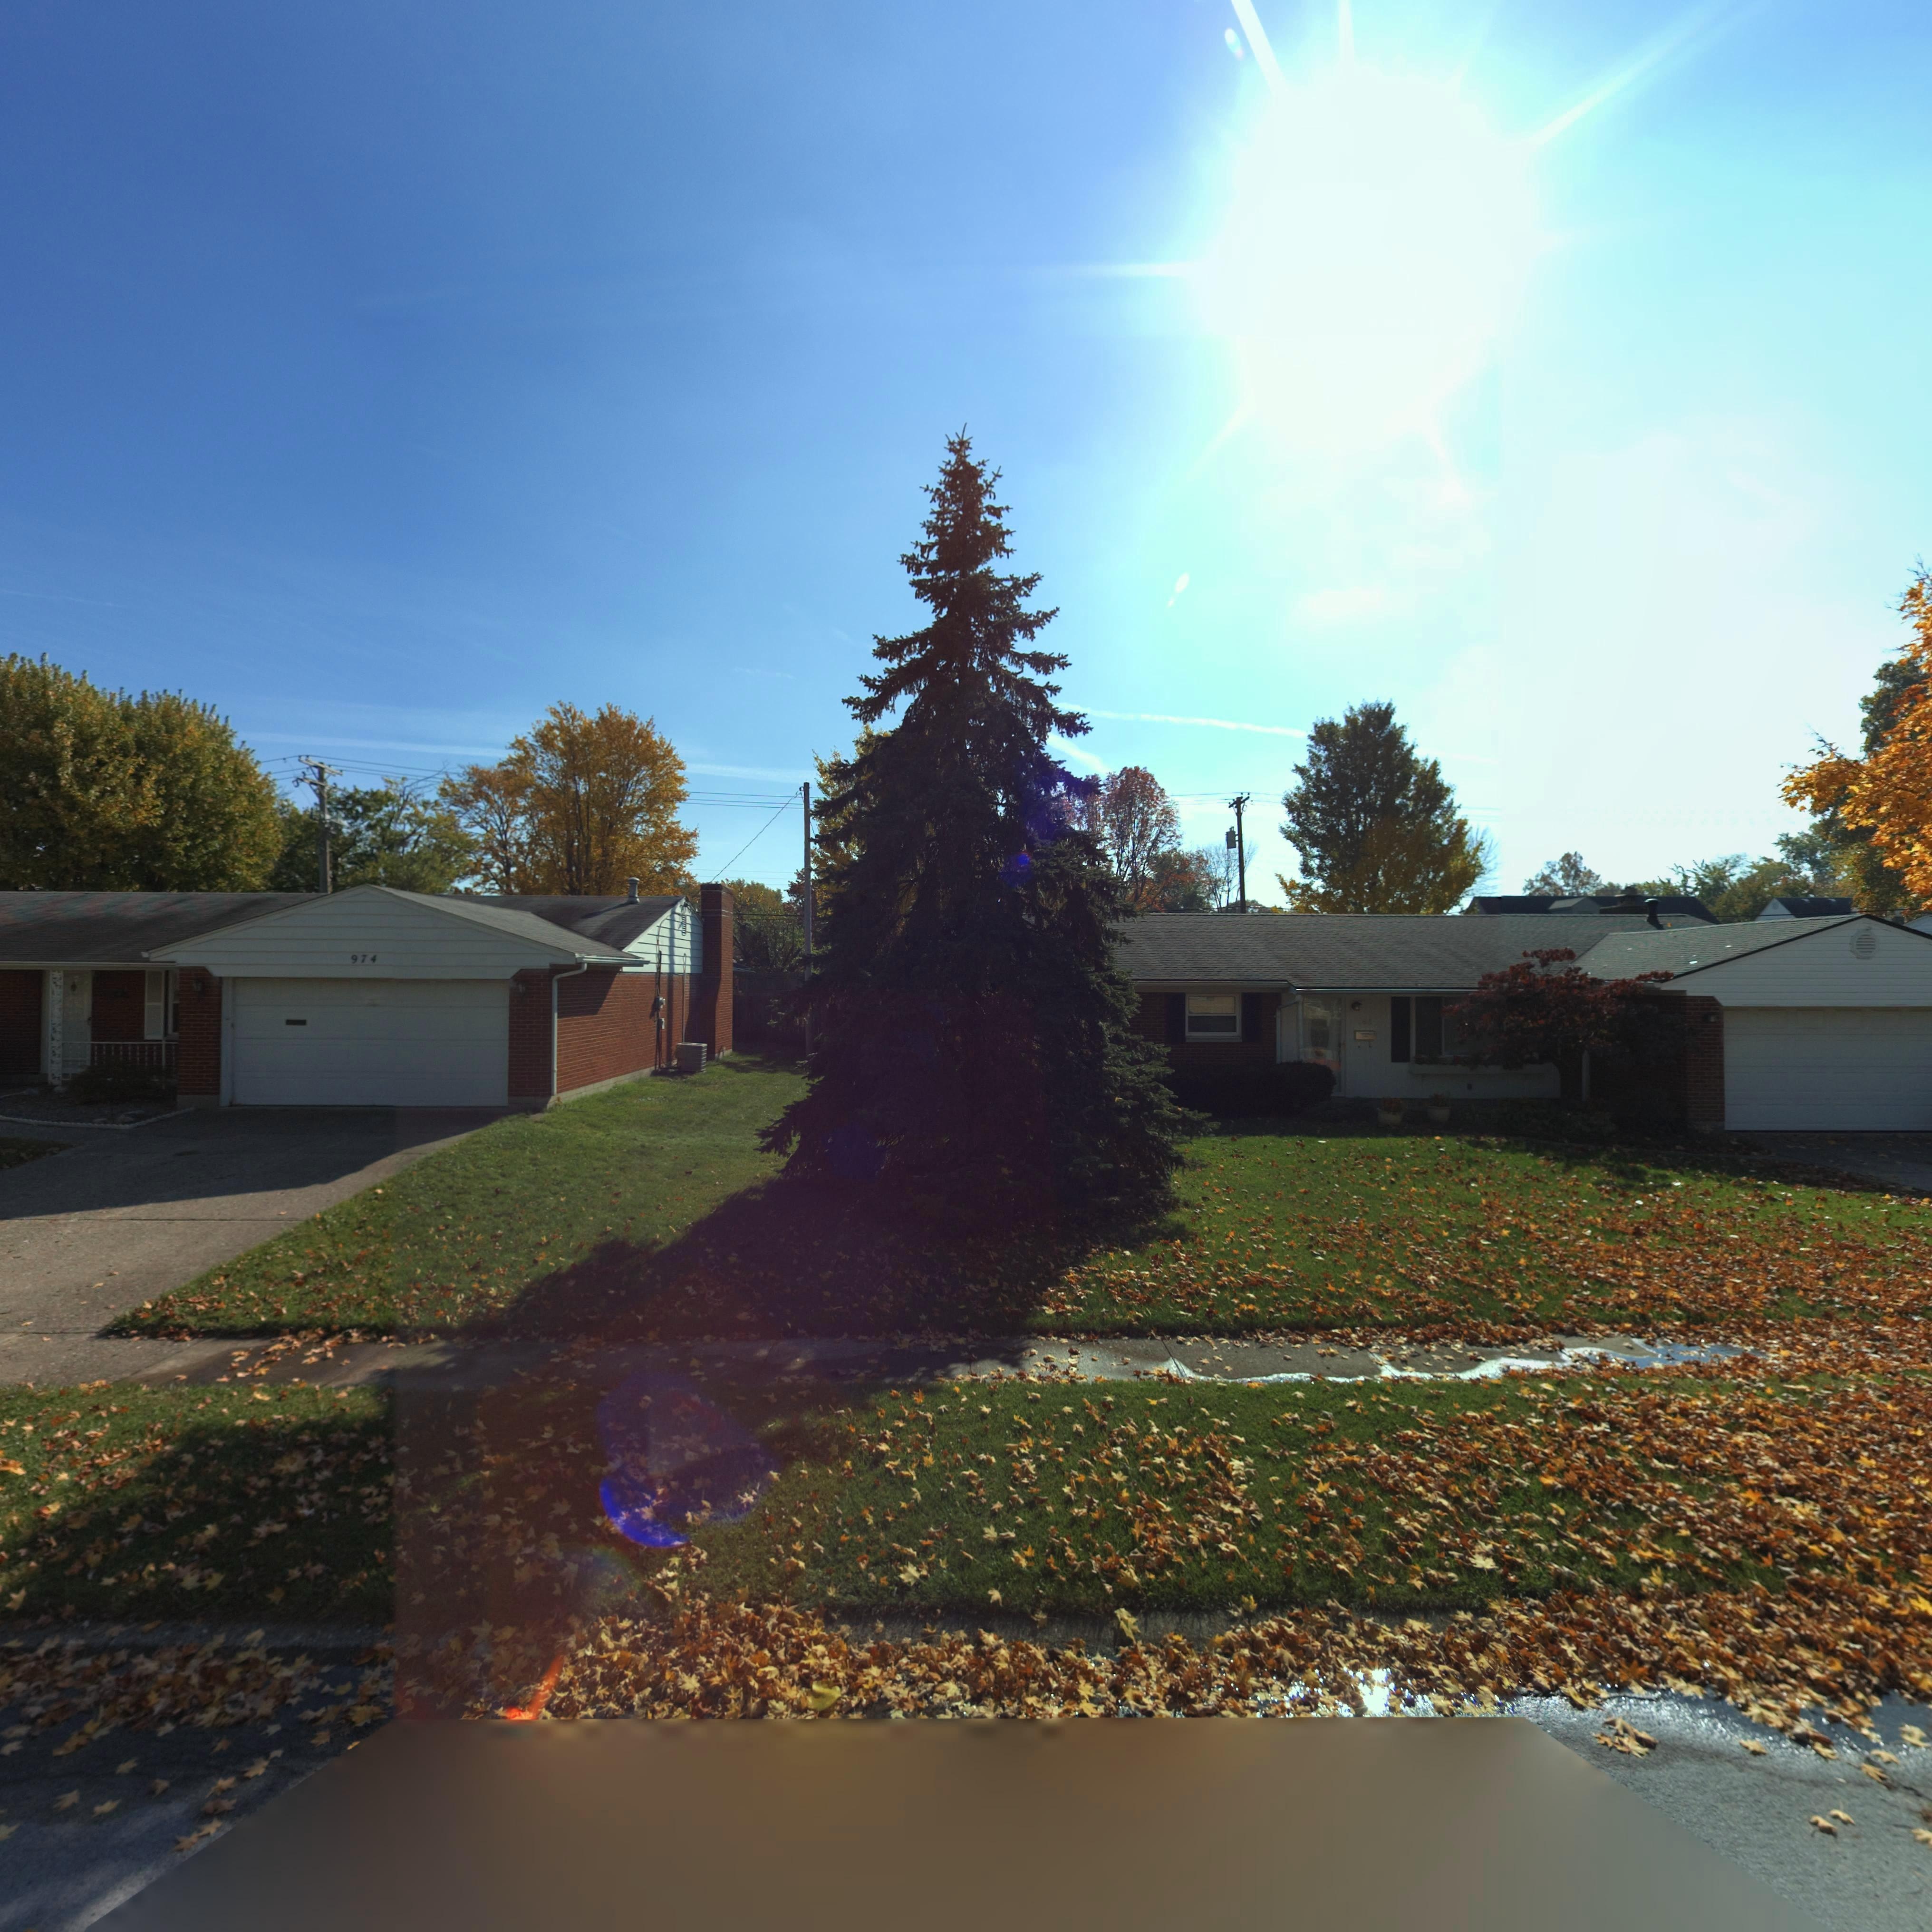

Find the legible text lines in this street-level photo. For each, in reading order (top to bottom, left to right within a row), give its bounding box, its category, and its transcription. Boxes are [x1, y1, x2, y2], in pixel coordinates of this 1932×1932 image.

[350, 953, 378, 966] StreetNumber: 974